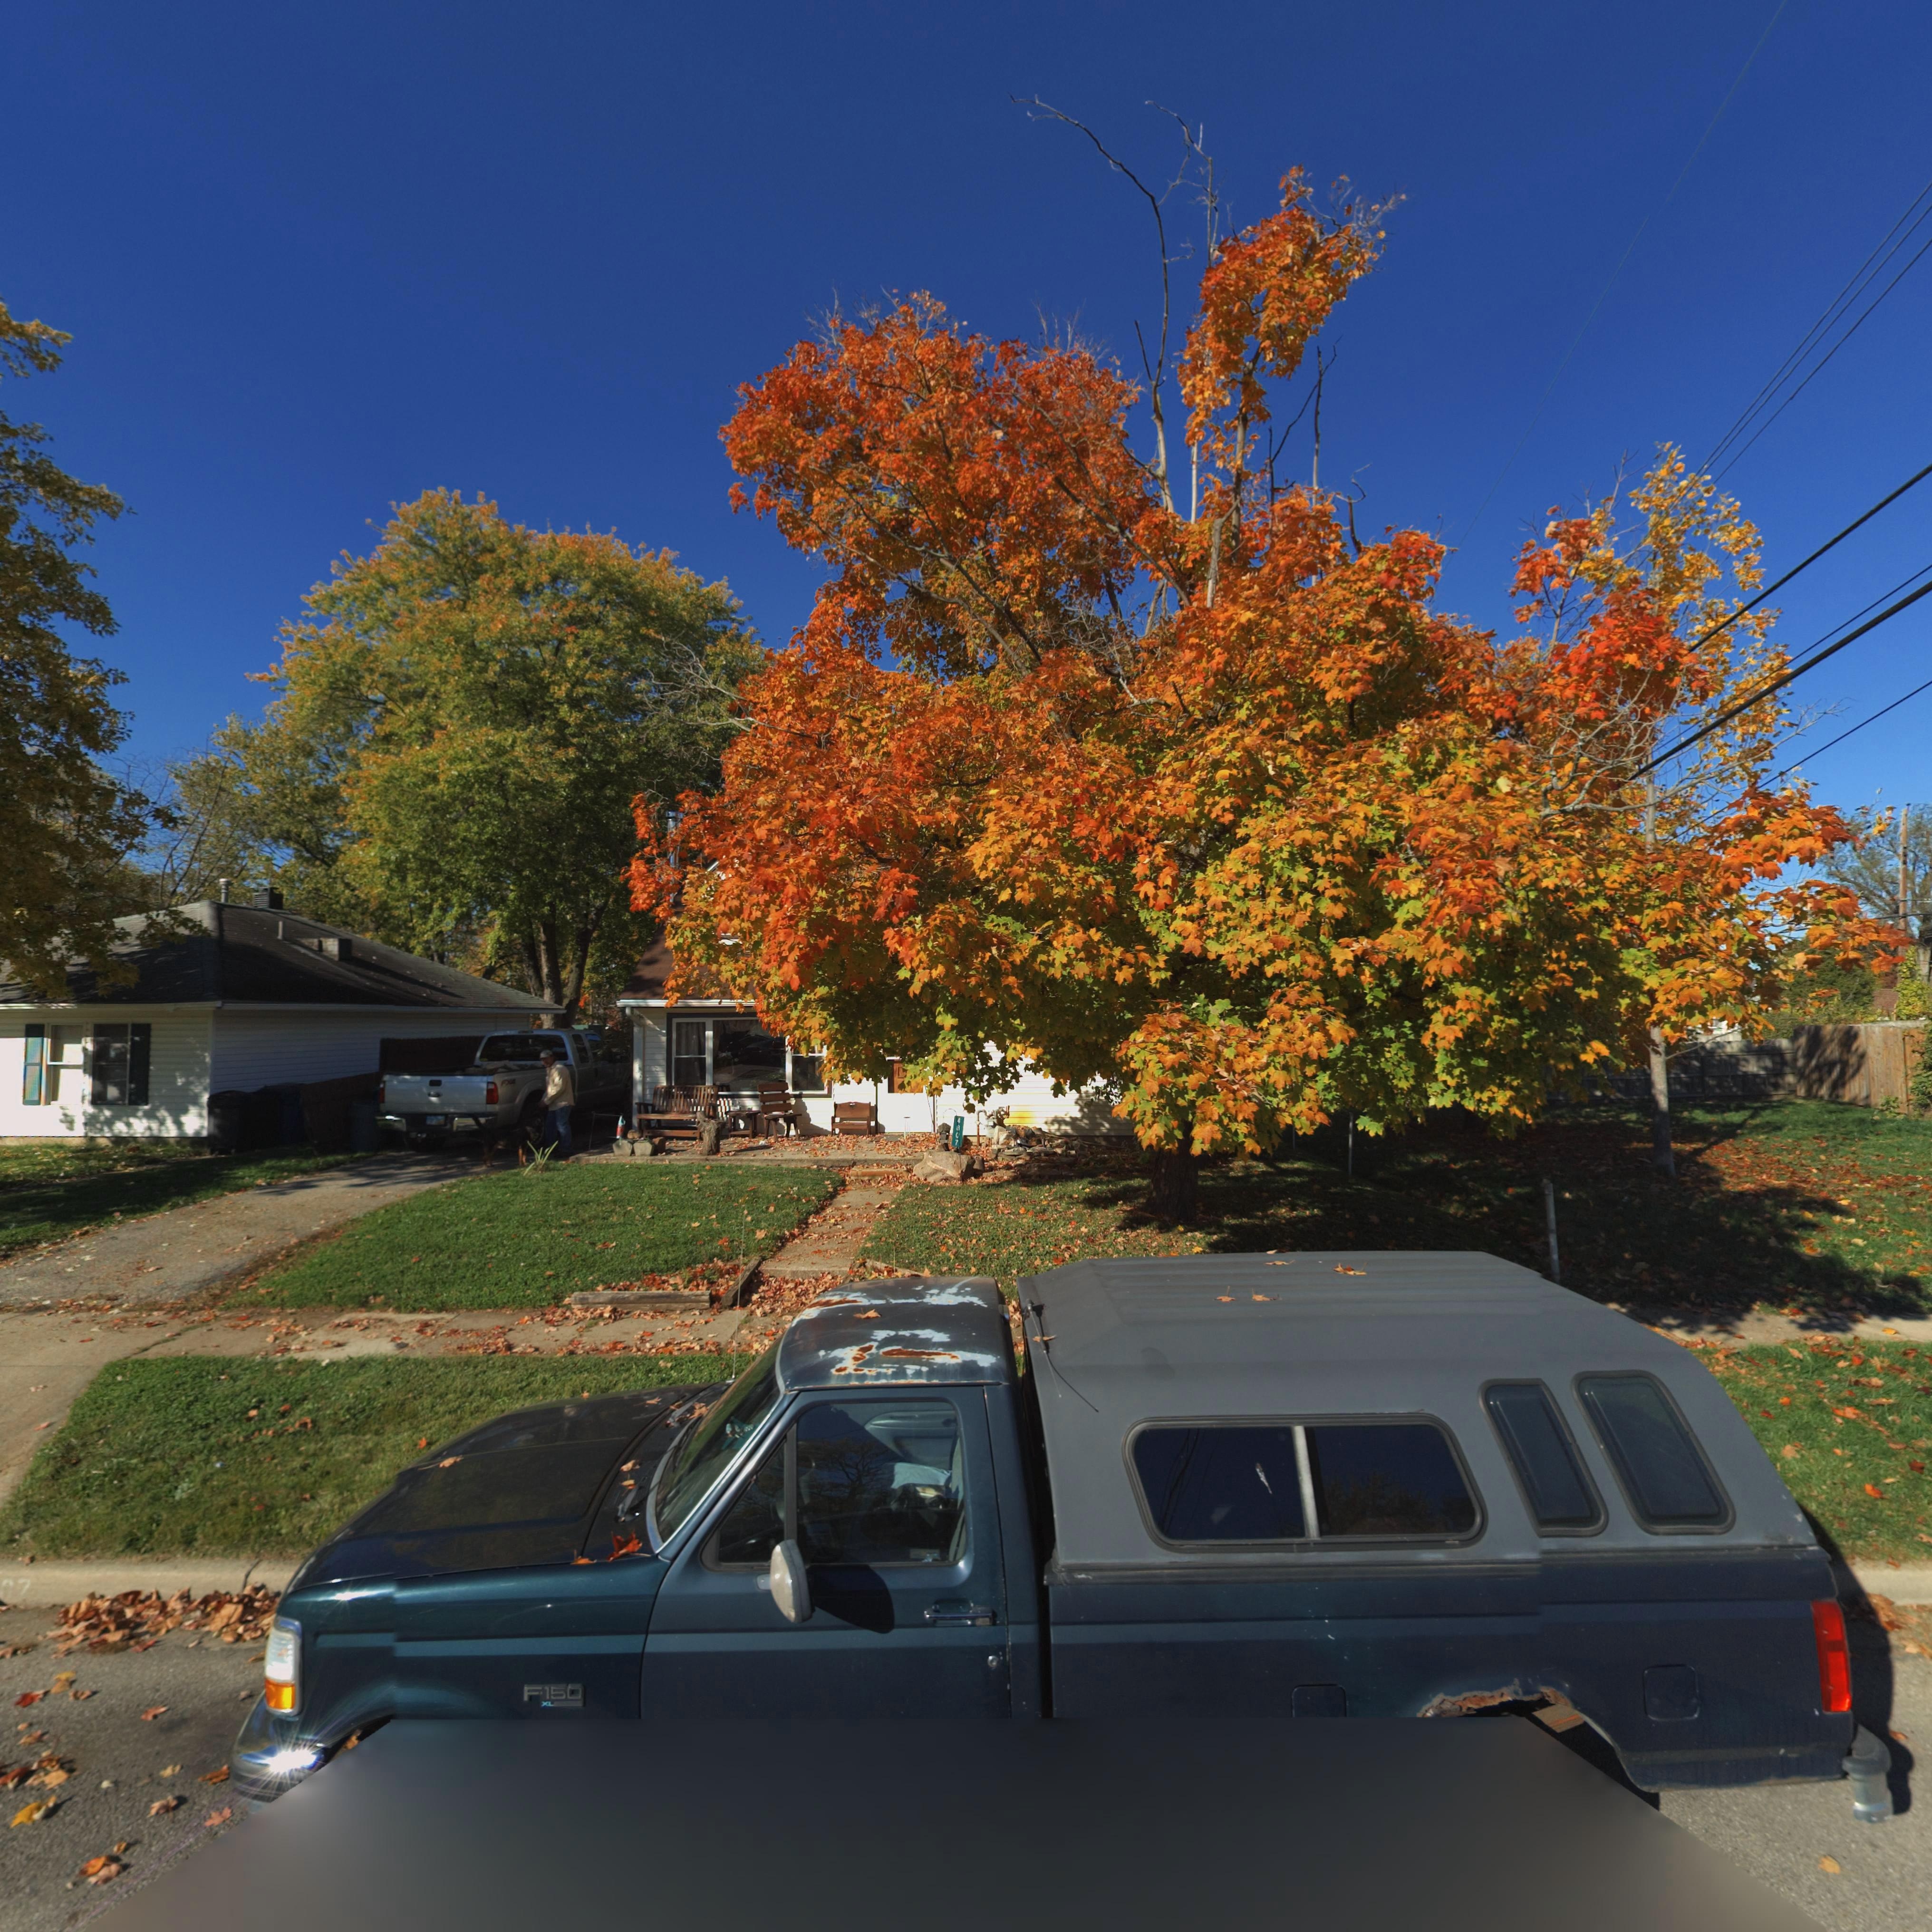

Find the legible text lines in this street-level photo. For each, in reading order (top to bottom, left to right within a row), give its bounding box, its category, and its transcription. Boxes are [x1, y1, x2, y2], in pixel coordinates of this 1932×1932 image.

[954, 1116, 962, 1147] StreetNumber: 4**7